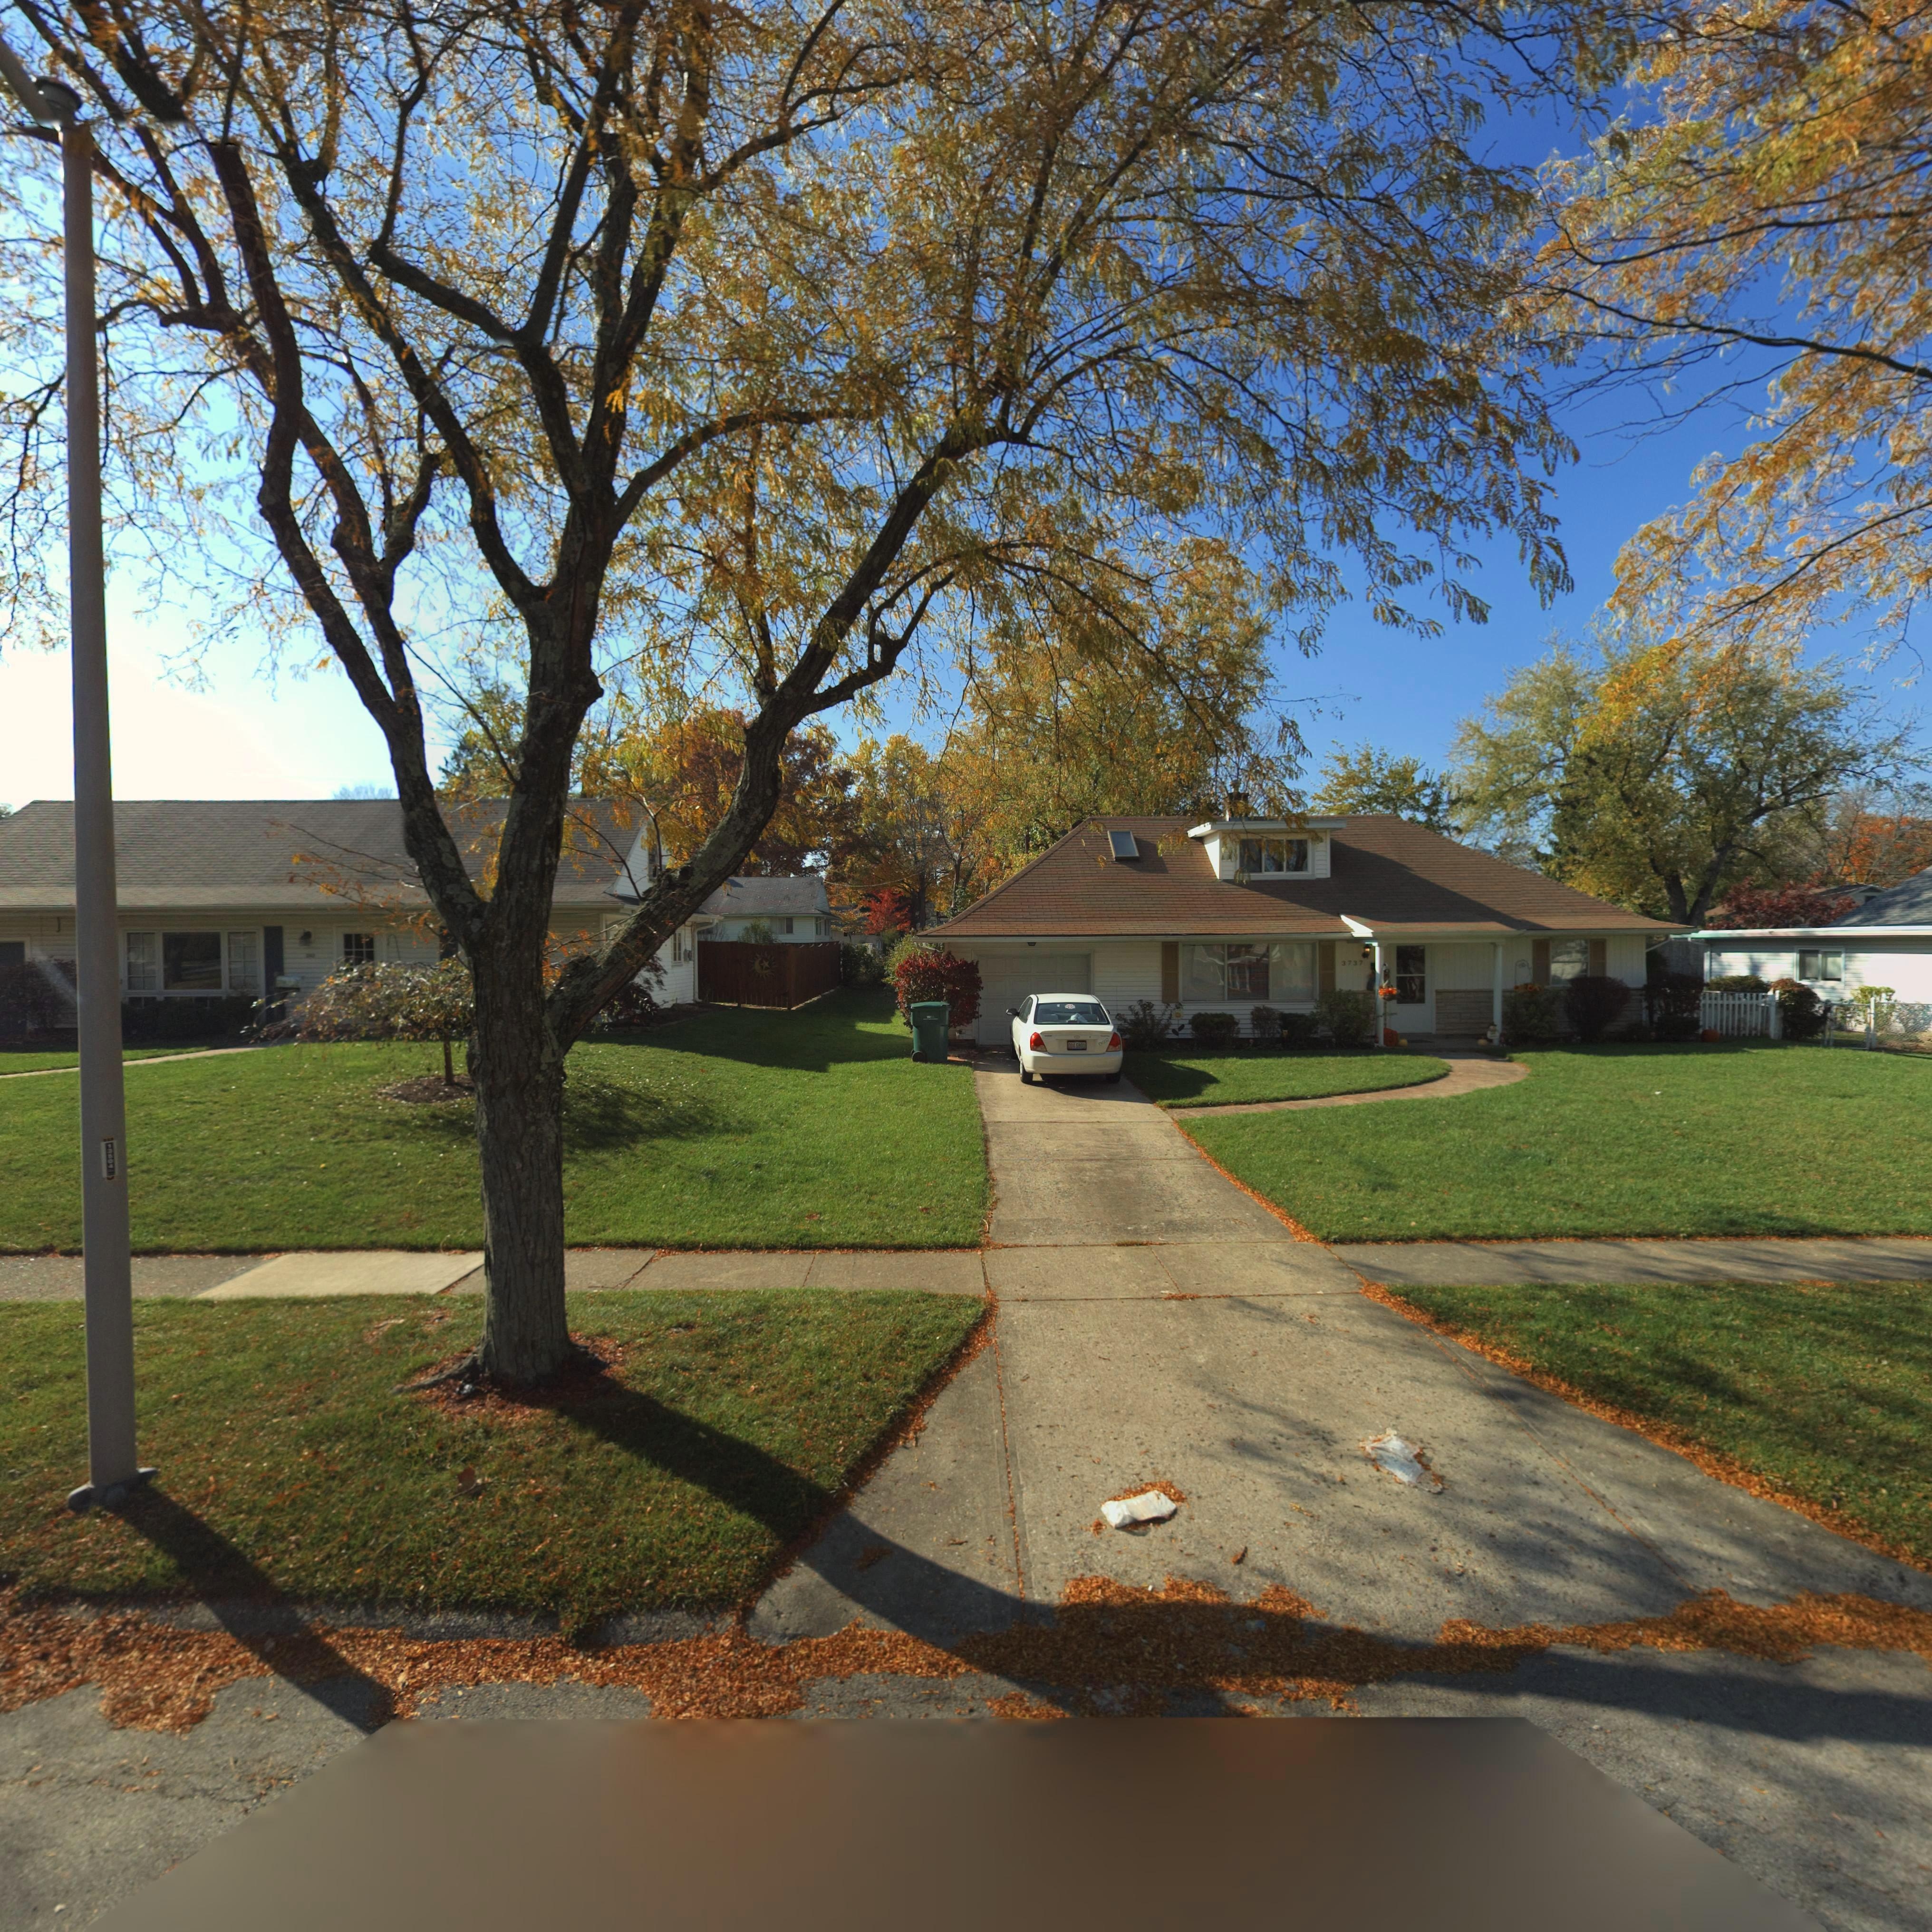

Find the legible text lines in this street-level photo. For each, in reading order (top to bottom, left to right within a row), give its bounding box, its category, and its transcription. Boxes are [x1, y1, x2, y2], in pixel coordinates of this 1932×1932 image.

[1341, 960, 1363, 966] StreetNumber: 3737
[925, 1015, 937, 1019] None: WM
[1068, 1043, 1085, 1048] None: DDA**800
[107, 1143, 114, 1169] None: 13504